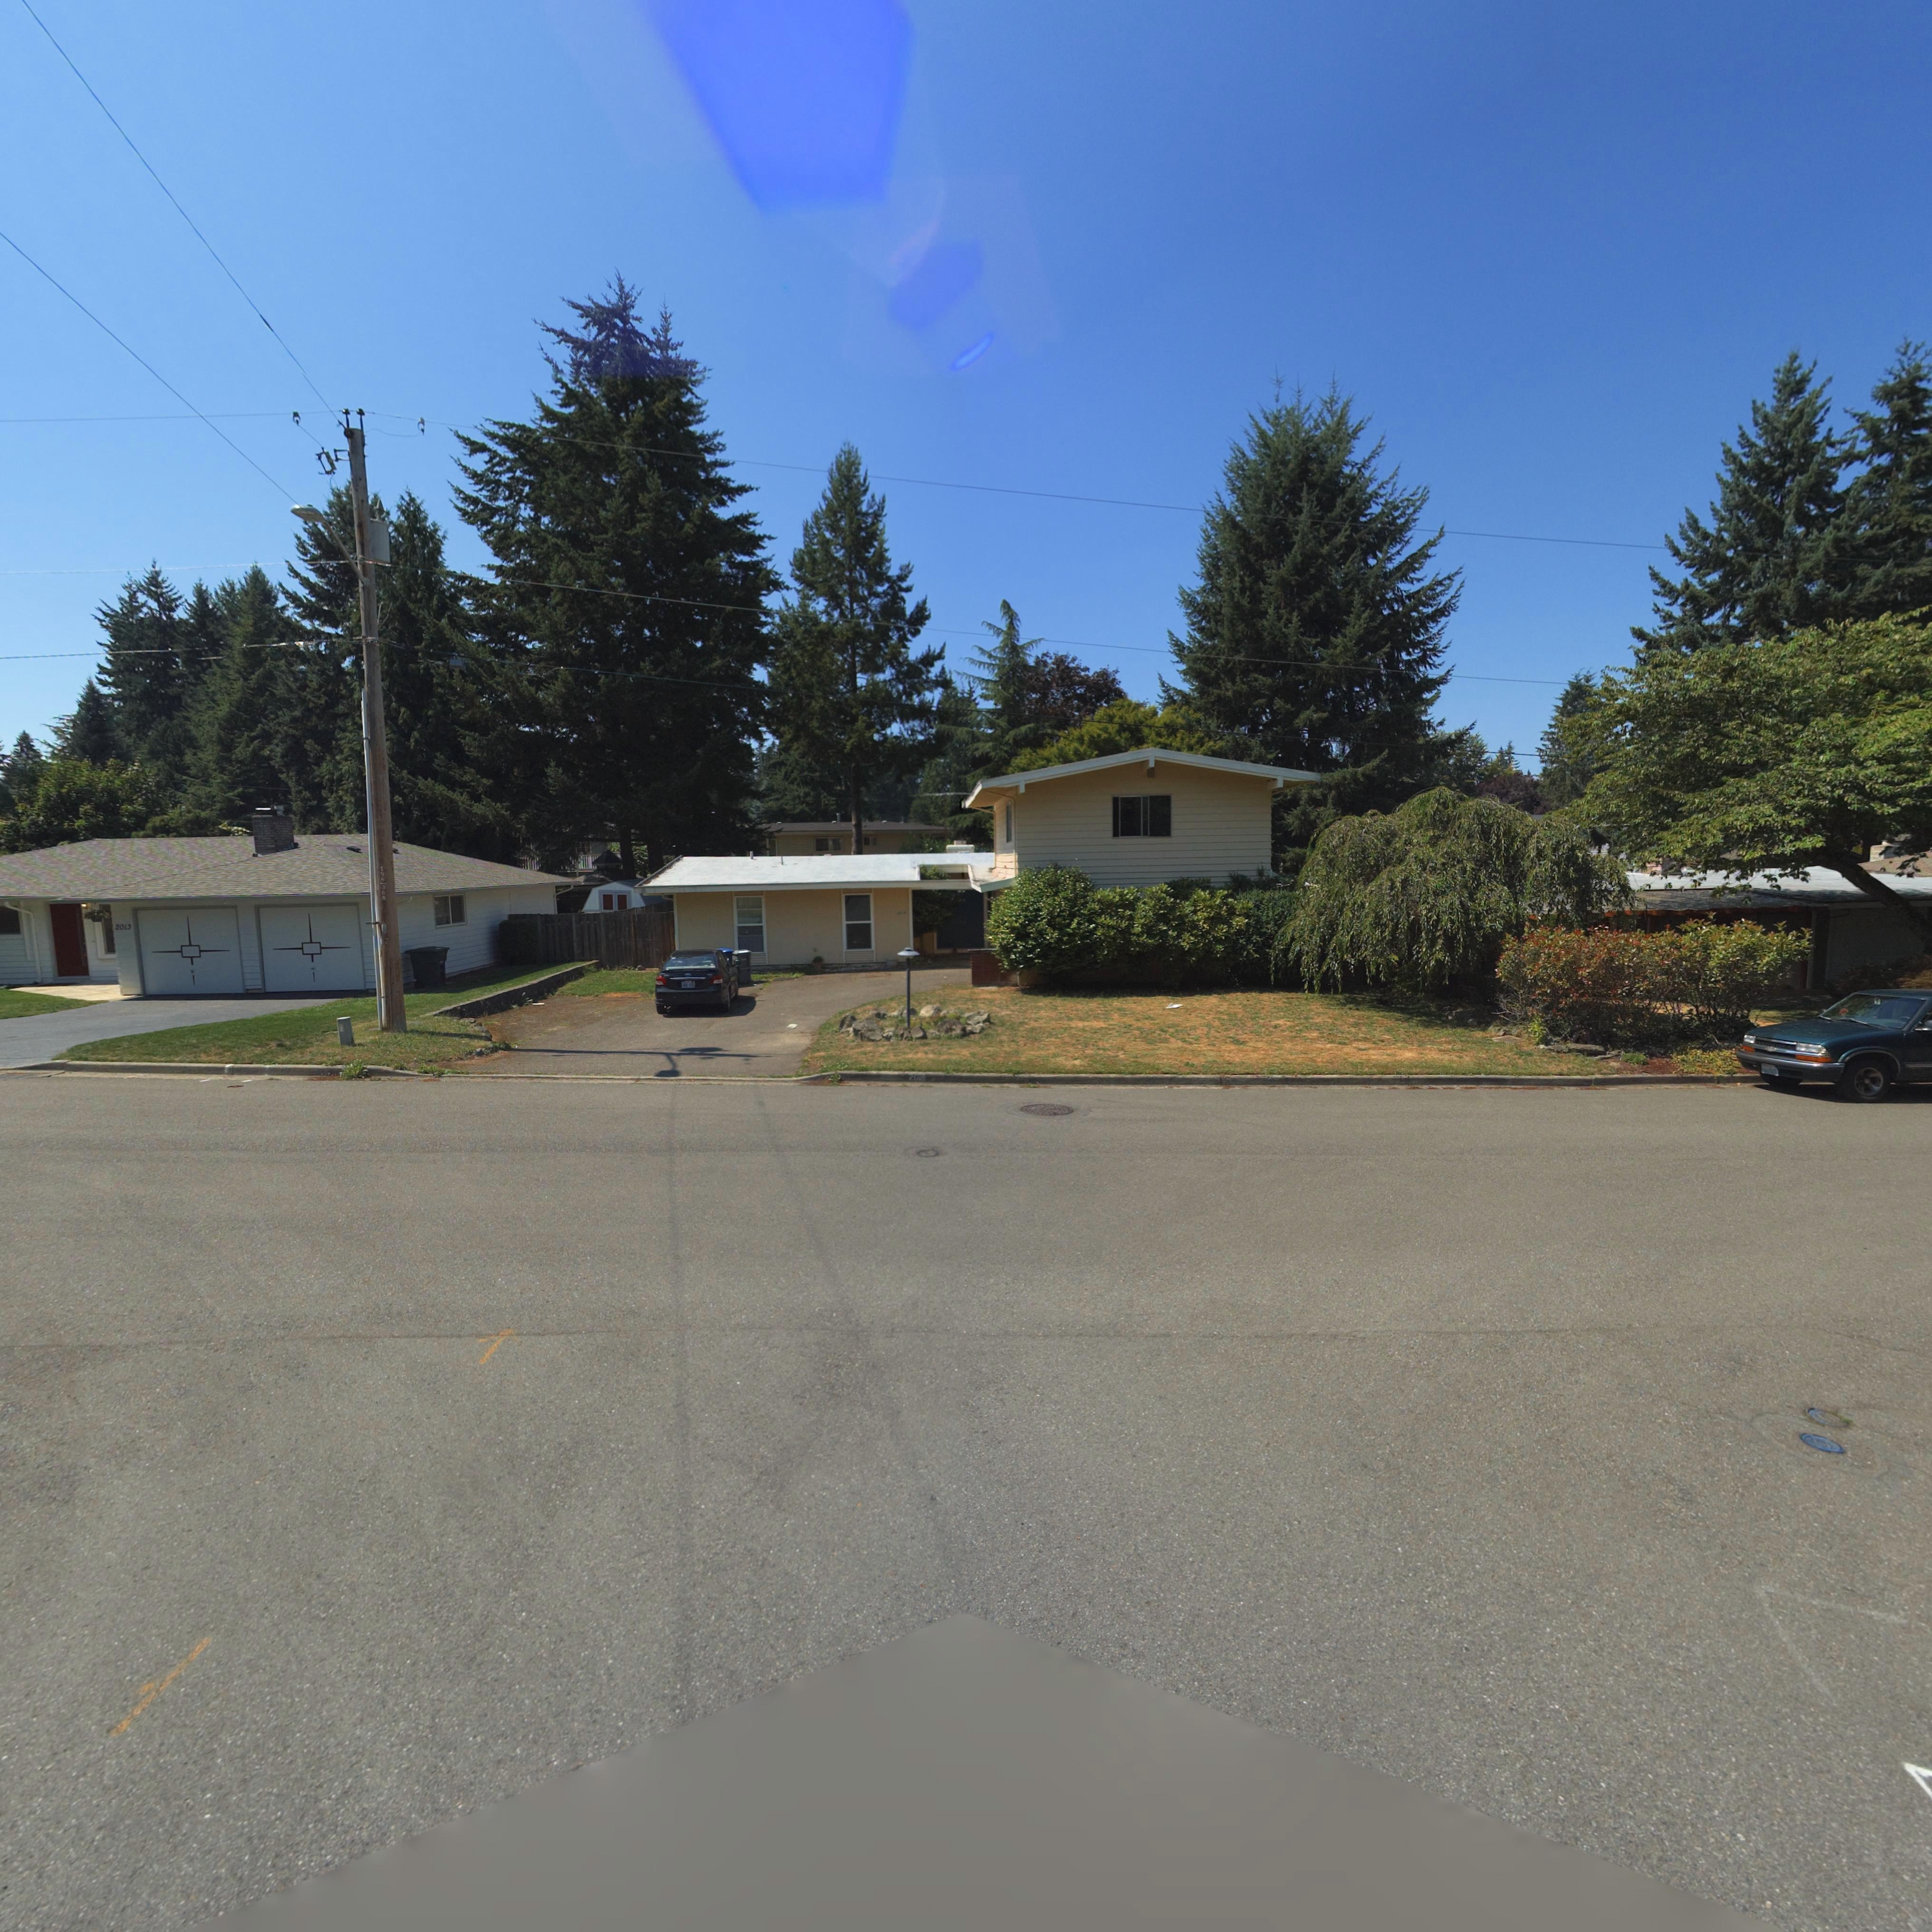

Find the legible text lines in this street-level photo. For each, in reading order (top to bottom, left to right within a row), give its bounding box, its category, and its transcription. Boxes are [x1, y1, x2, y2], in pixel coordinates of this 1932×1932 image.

[115, 924, 131, 930] StreetNumber: 2013